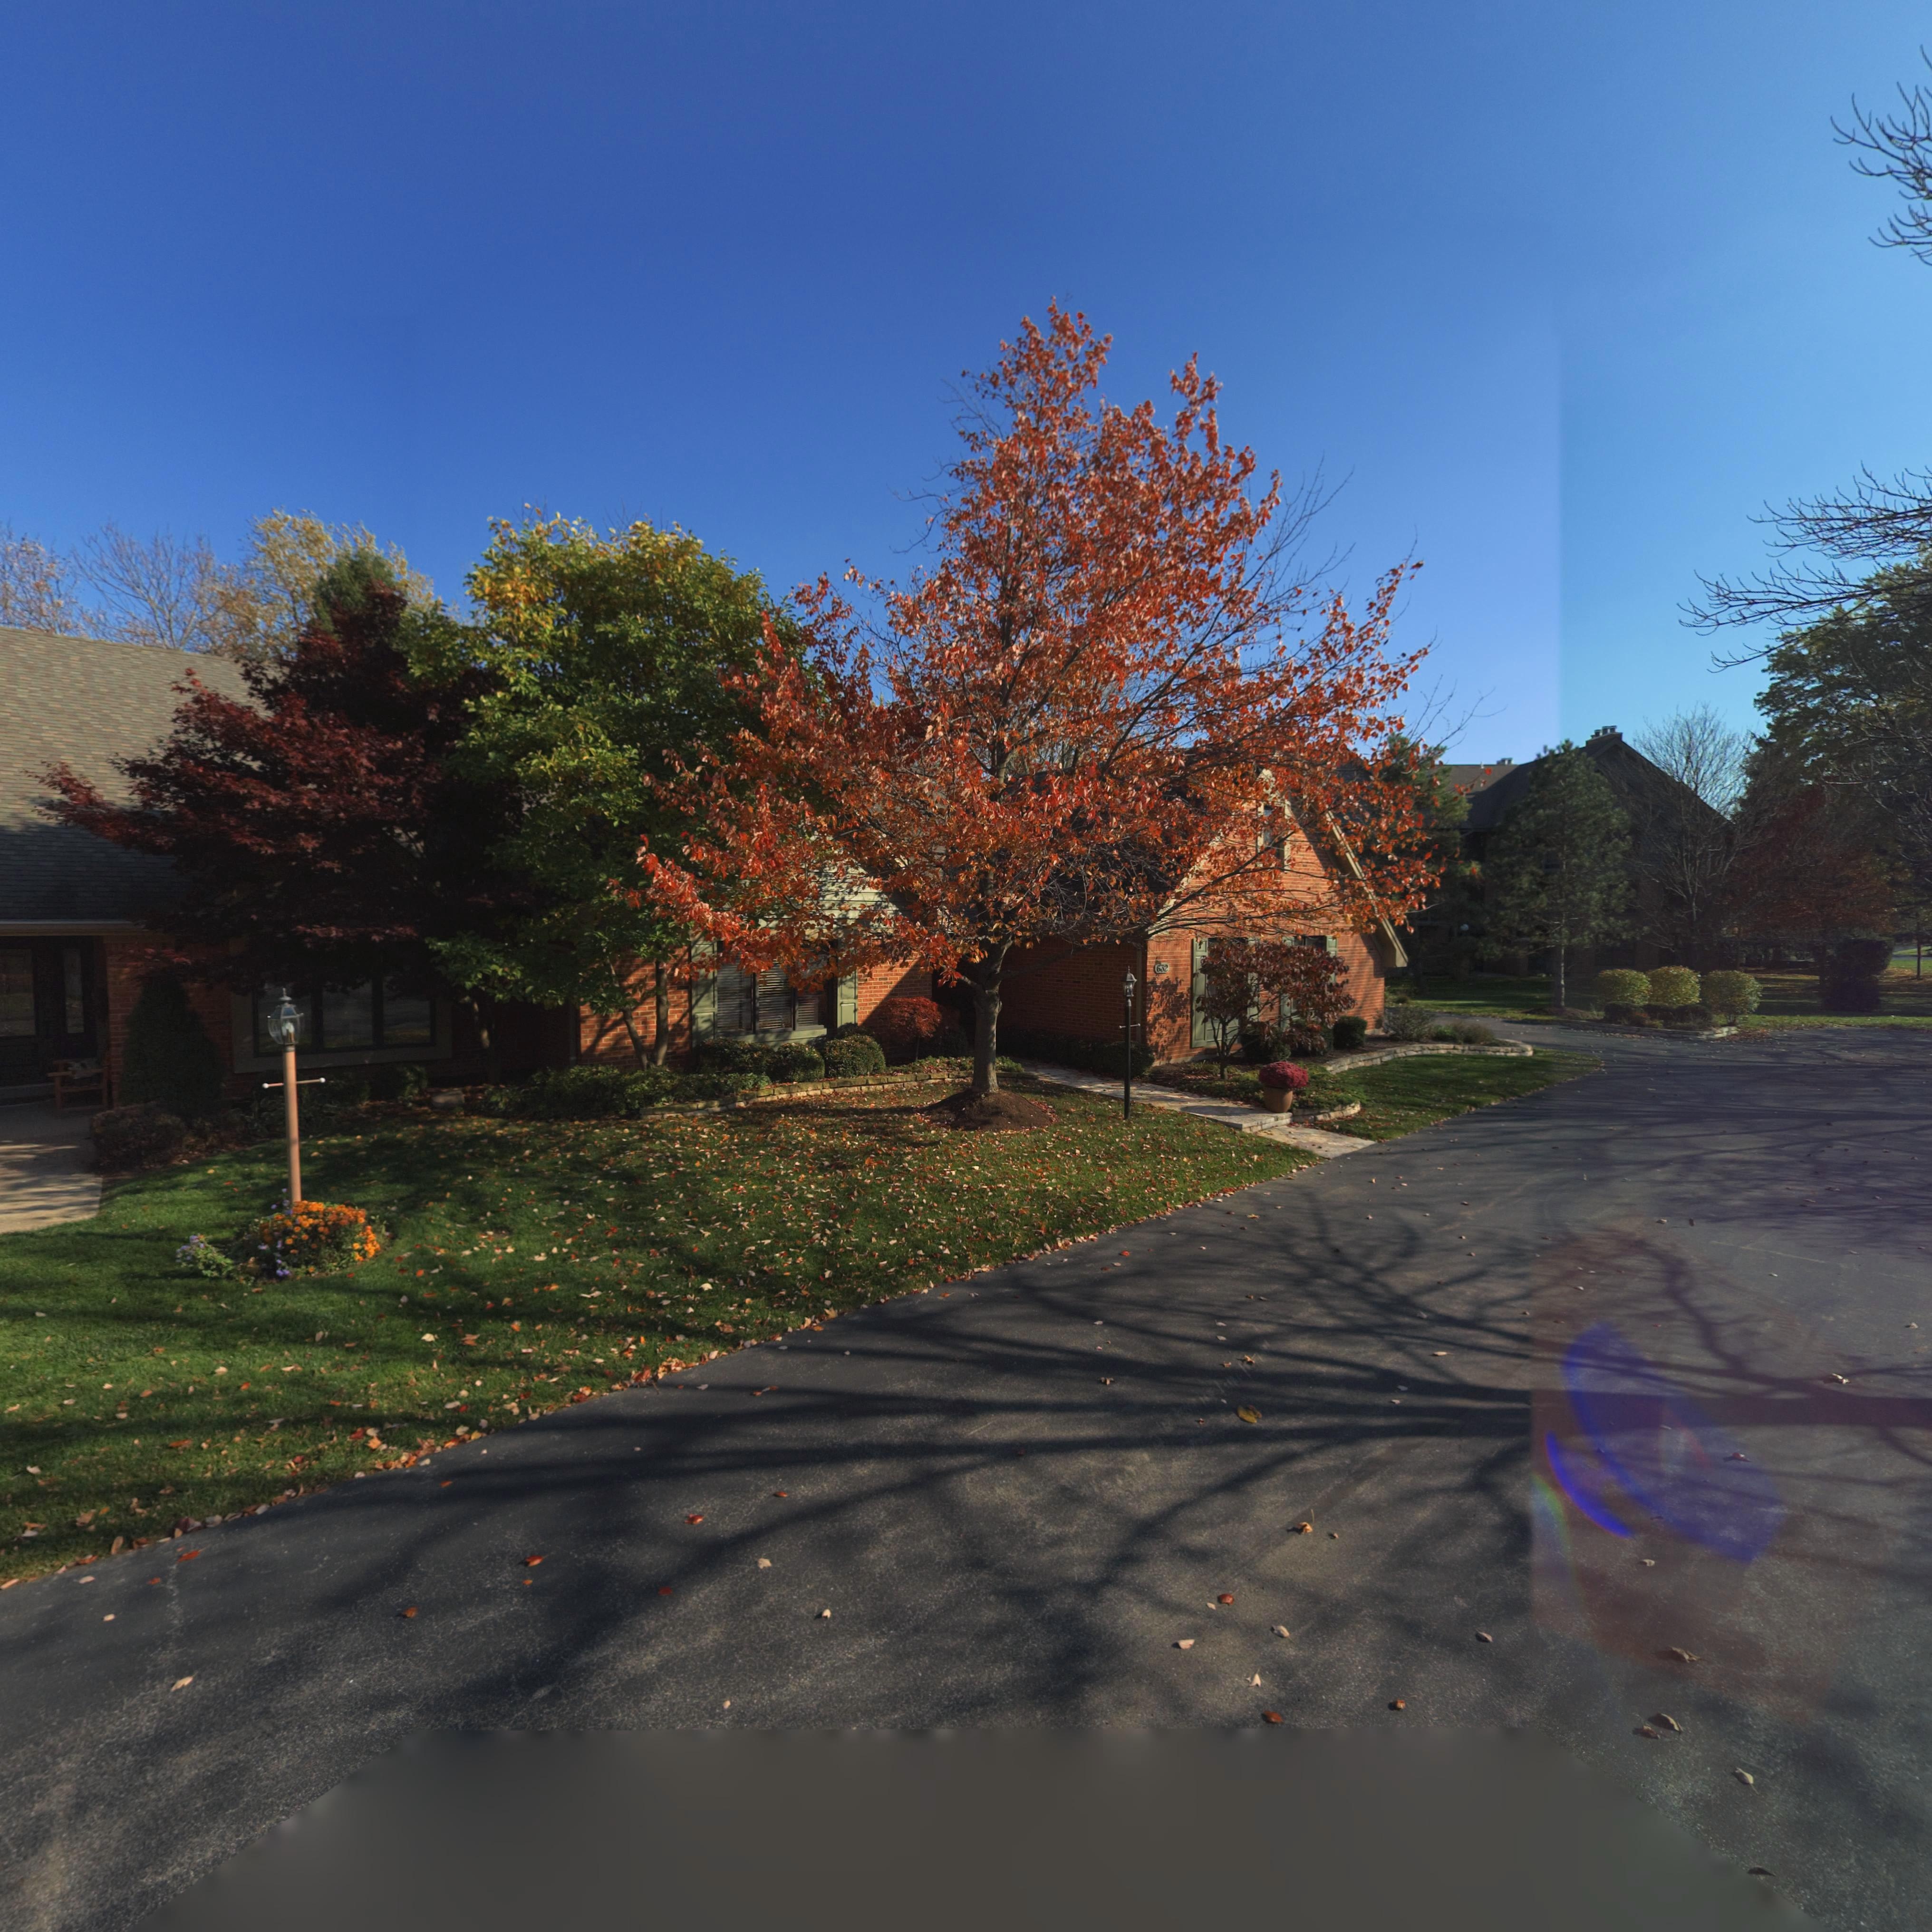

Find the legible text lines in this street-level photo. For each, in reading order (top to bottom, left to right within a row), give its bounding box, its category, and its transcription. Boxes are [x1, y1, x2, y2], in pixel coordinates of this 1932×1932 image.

[1156, 963, 1169, 973] StreetNumber: 632